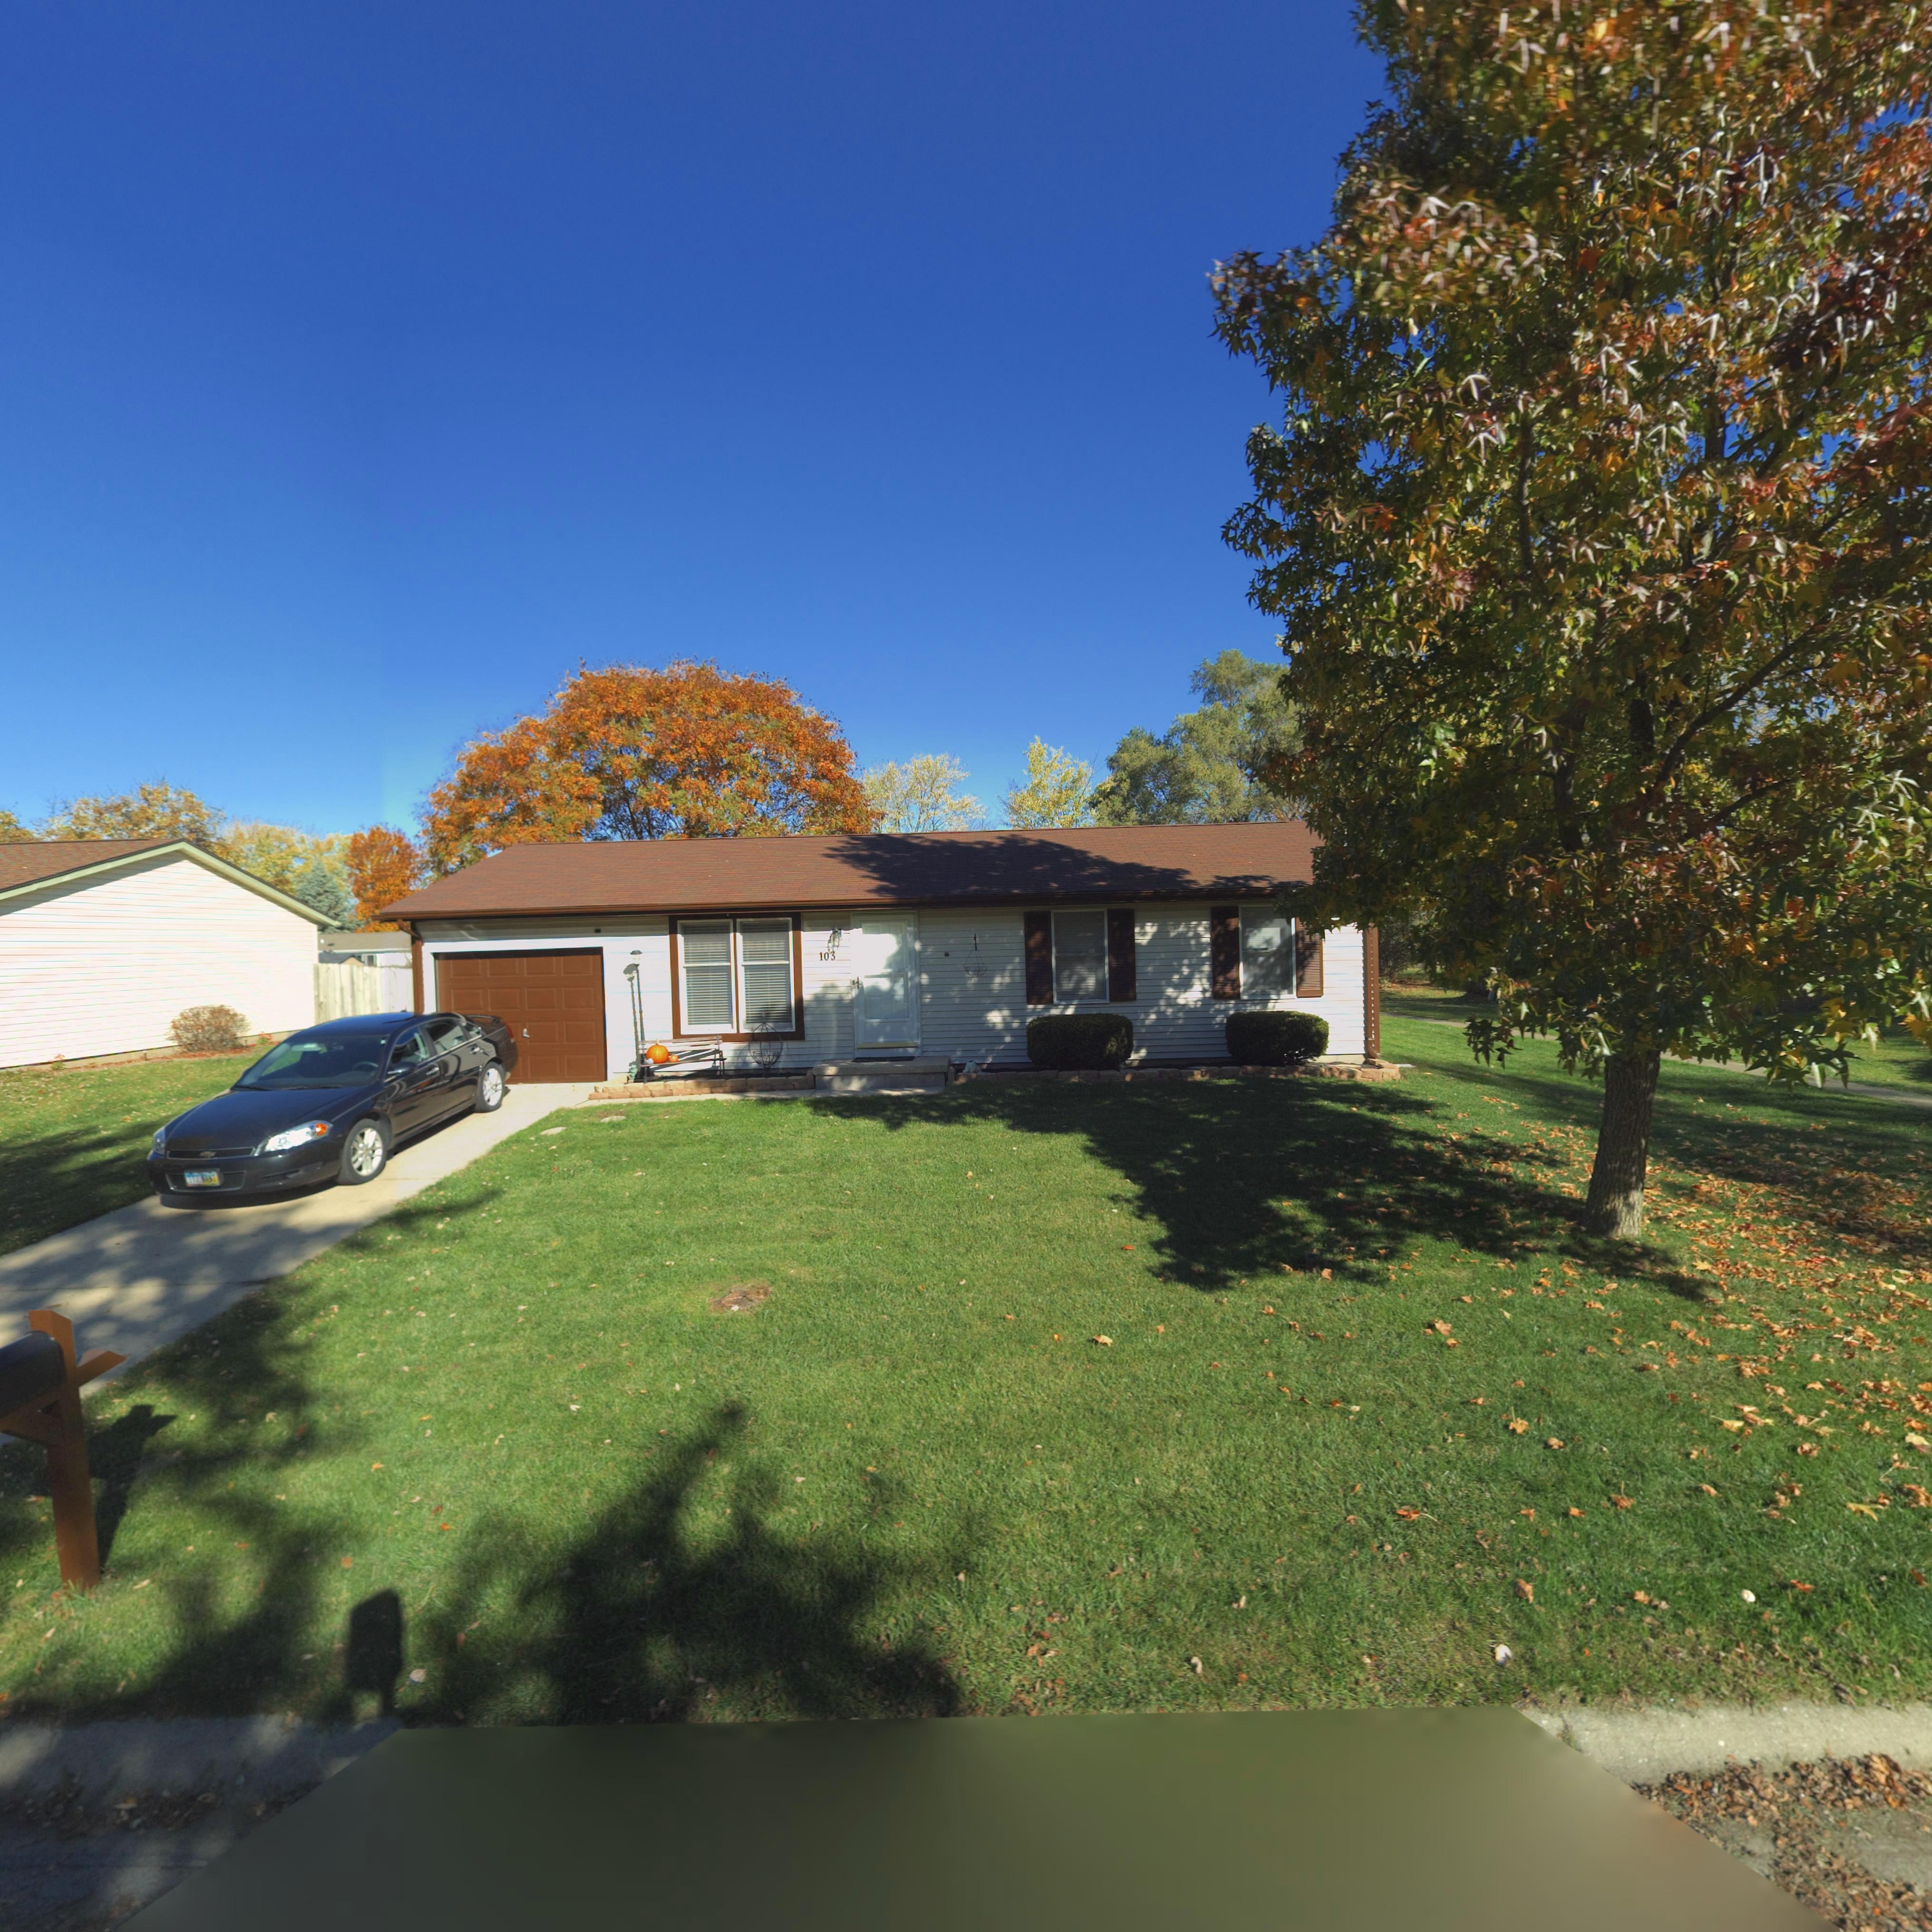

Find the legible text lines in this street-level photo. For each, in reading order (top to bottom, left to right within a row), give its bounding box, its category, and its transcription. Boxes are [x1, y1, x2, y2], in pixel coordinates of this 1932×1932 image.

[819, 951, 836, 962] StreetNumber: 103